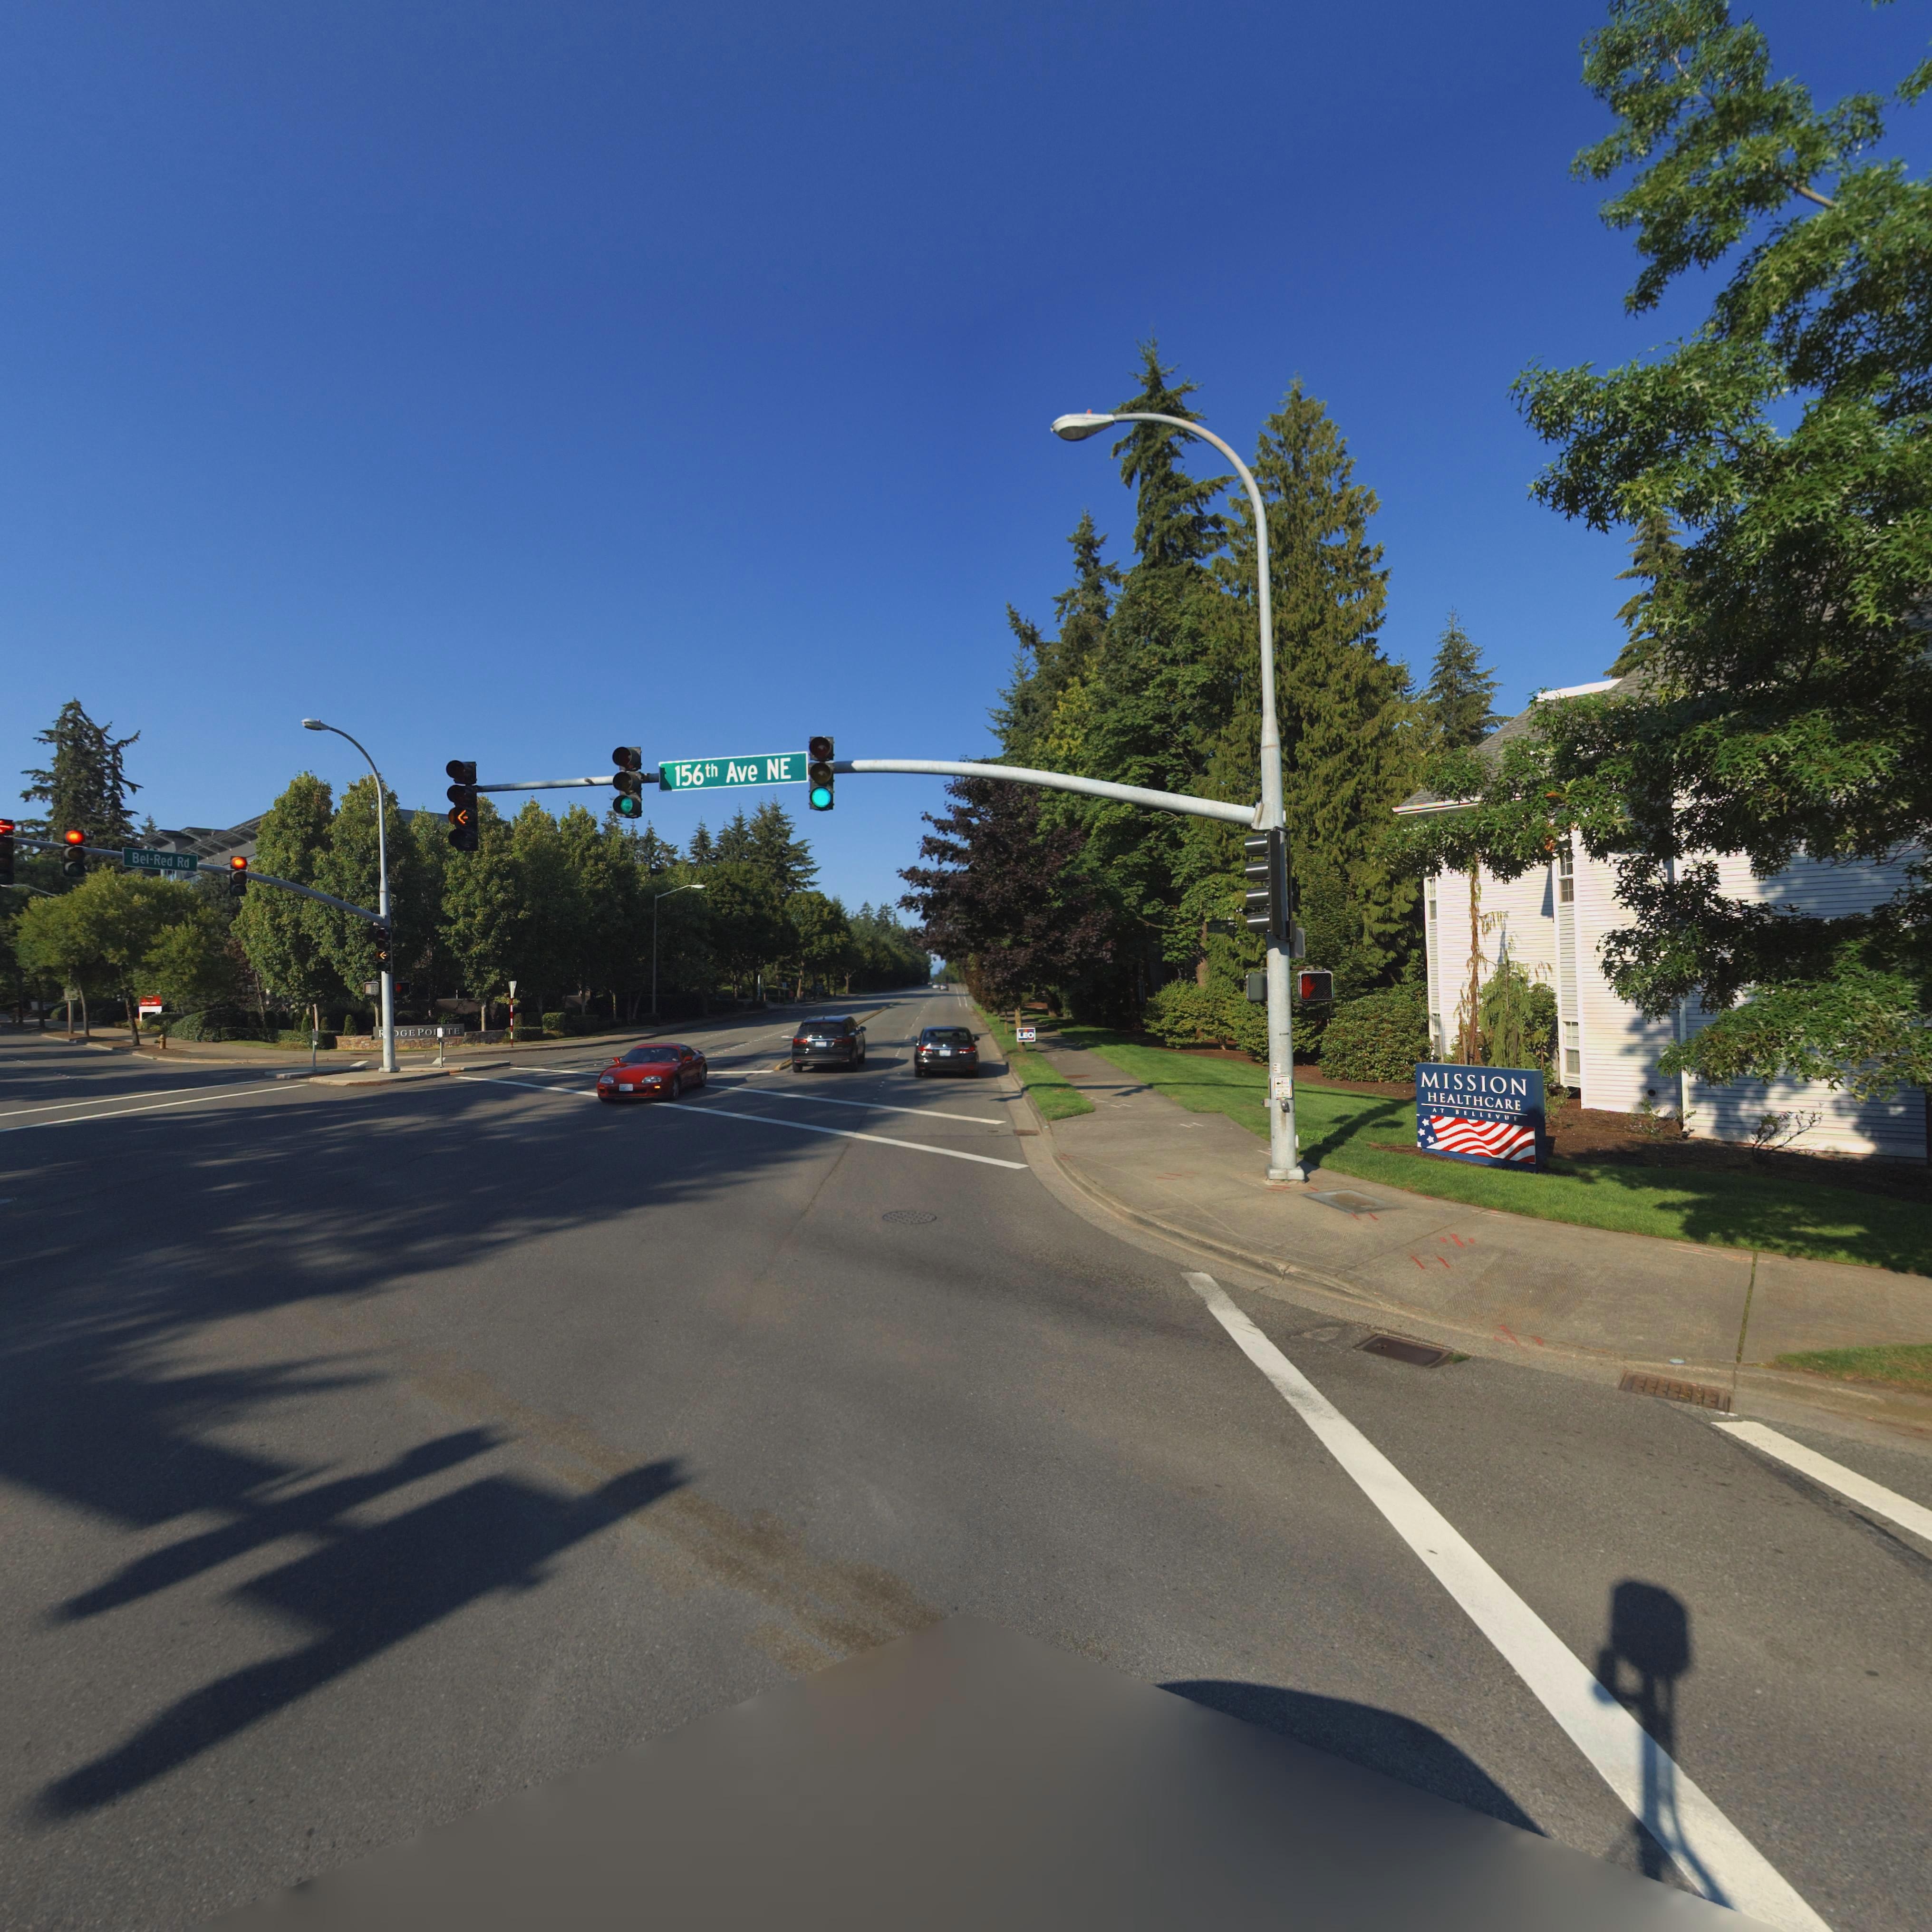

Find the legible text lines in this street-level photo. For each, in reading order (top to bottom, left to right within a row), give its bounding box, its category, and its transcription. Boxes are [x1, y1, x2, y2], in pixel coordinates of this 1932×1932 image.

[674, 756, 792, 787] StreetName: 156th Ave NE
[131, 850, 190, 868] StreetName: Bel*Red Rd
[1420, 1071, 1526, 1097] StreetName: MISSION
[1427, 1092, 1520, 1111] BusinessName: HEALTHCARE